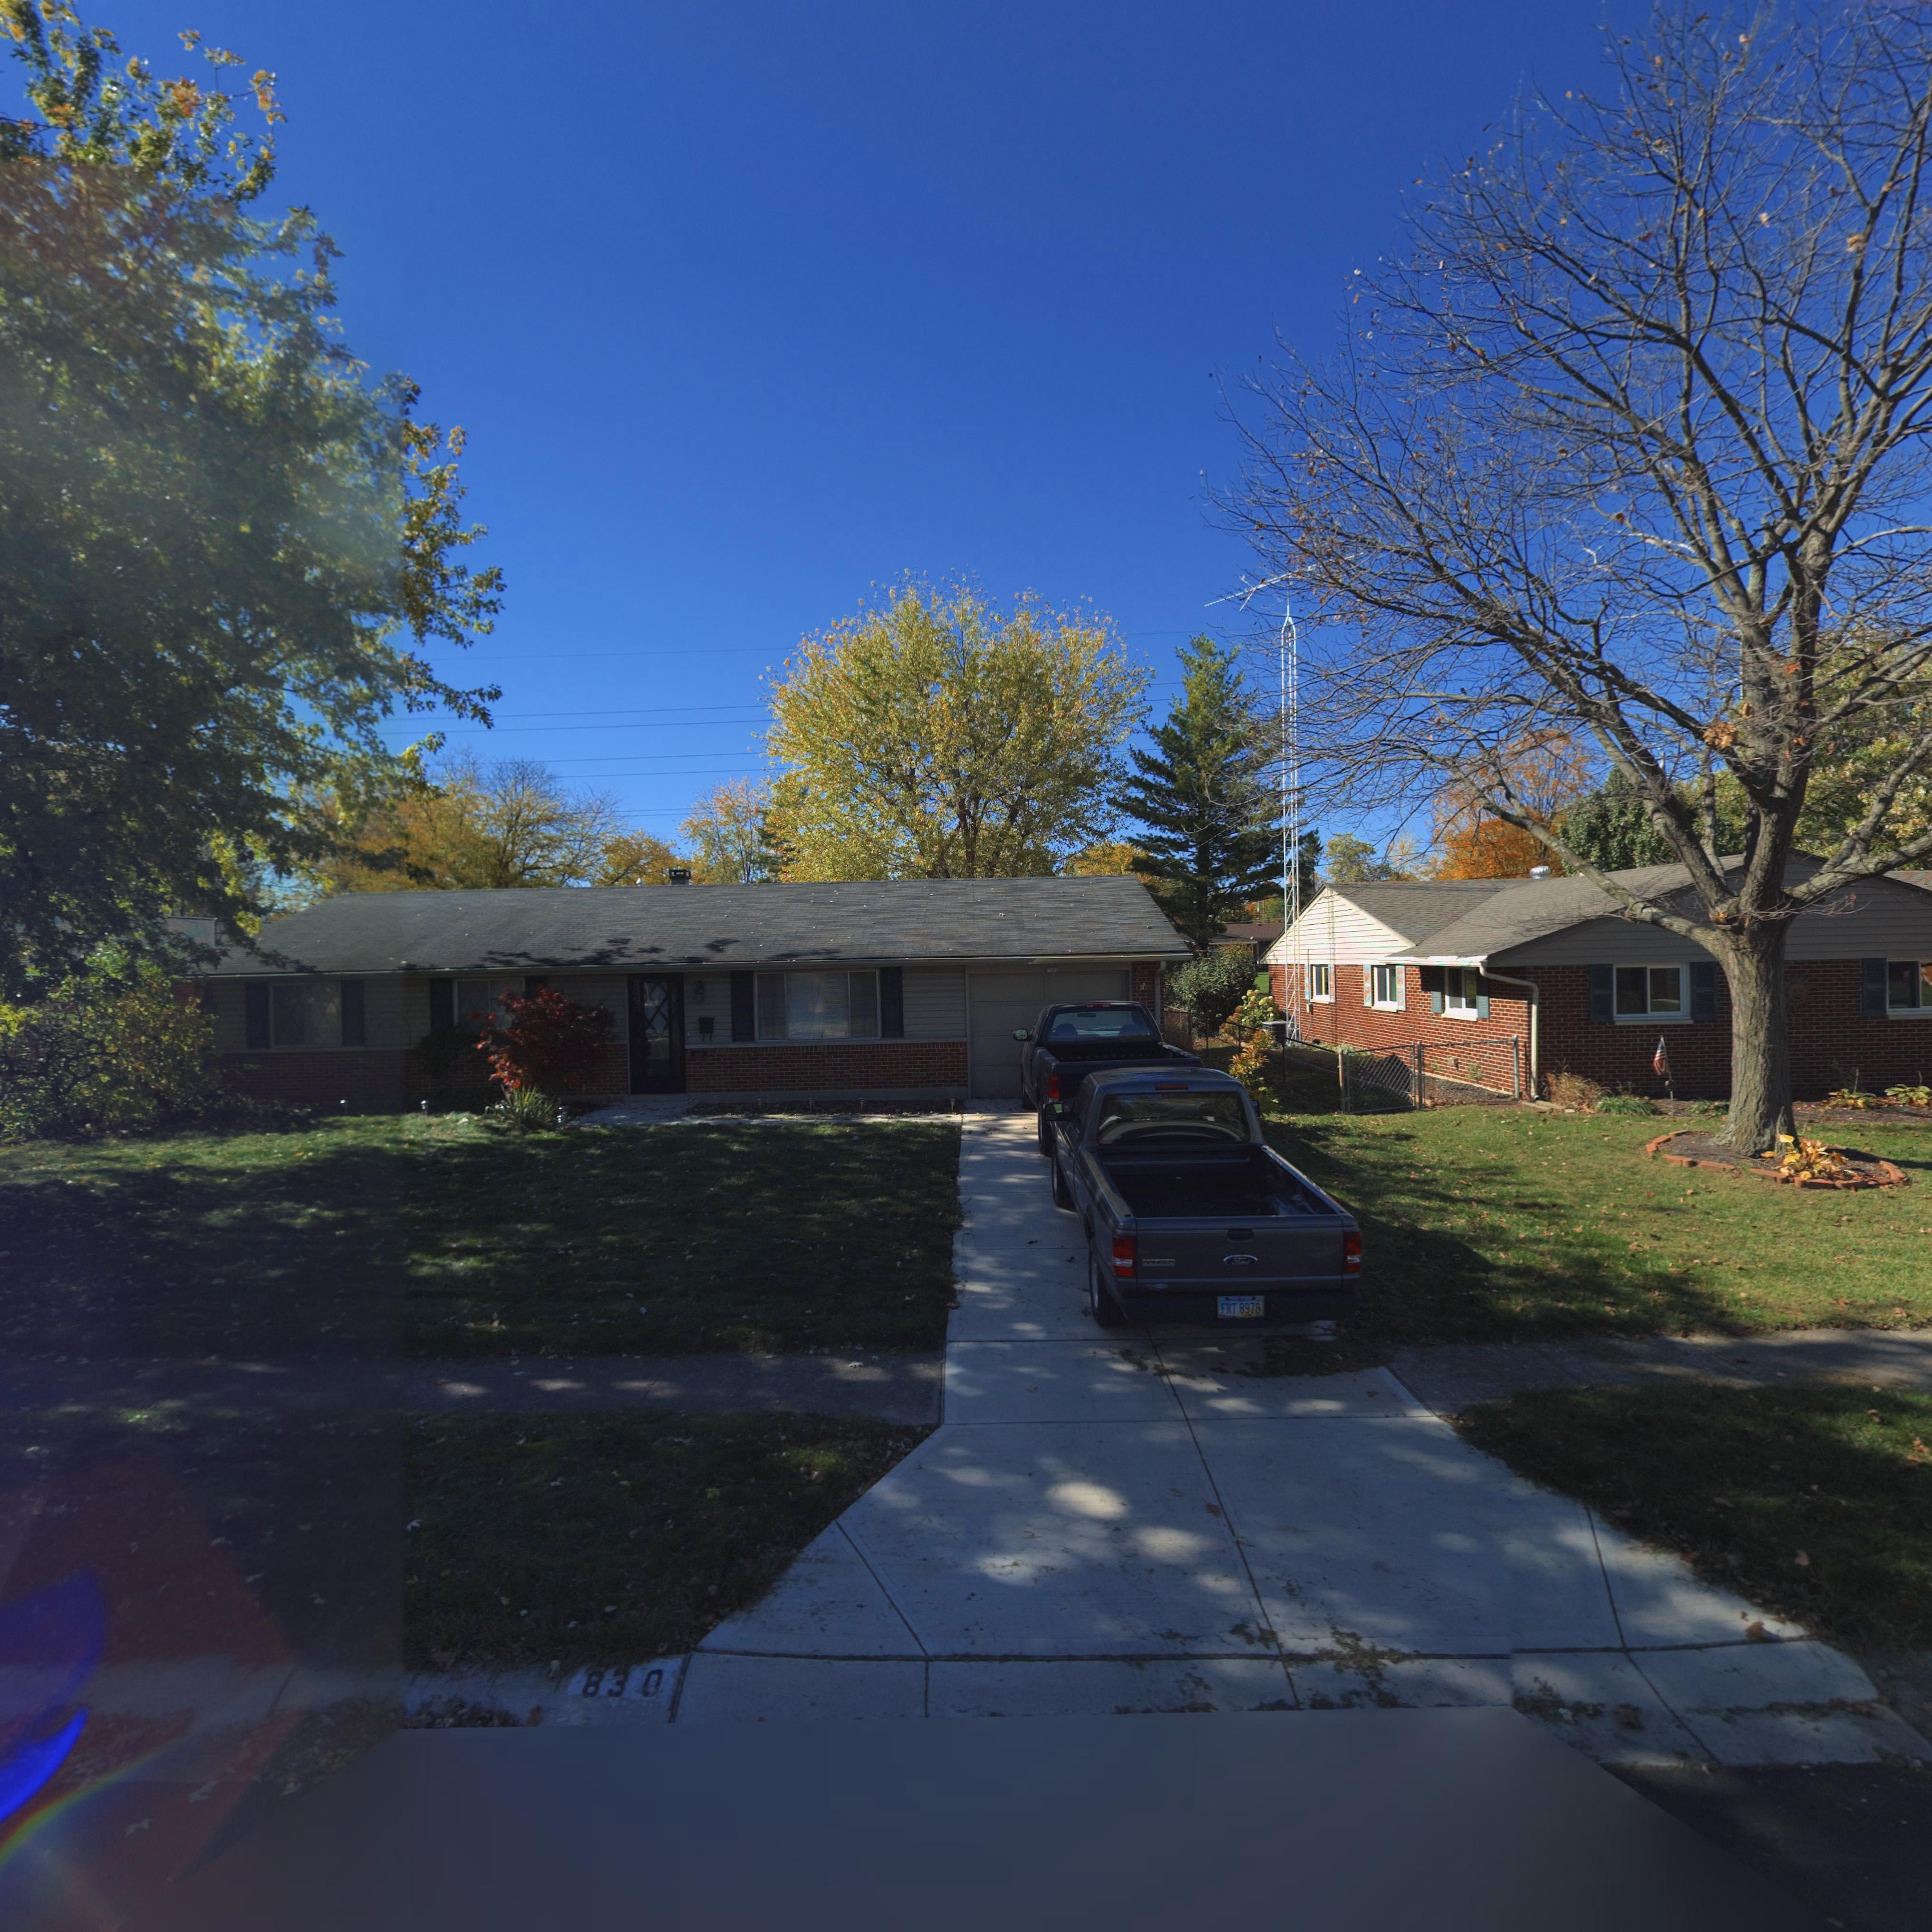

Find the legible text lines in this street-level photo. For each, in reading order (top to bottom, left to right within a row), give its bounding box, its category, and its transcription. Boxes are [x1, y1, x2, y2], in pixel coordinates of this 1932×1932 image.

[580, 1668, 666, 1699] StreetNumber: 830